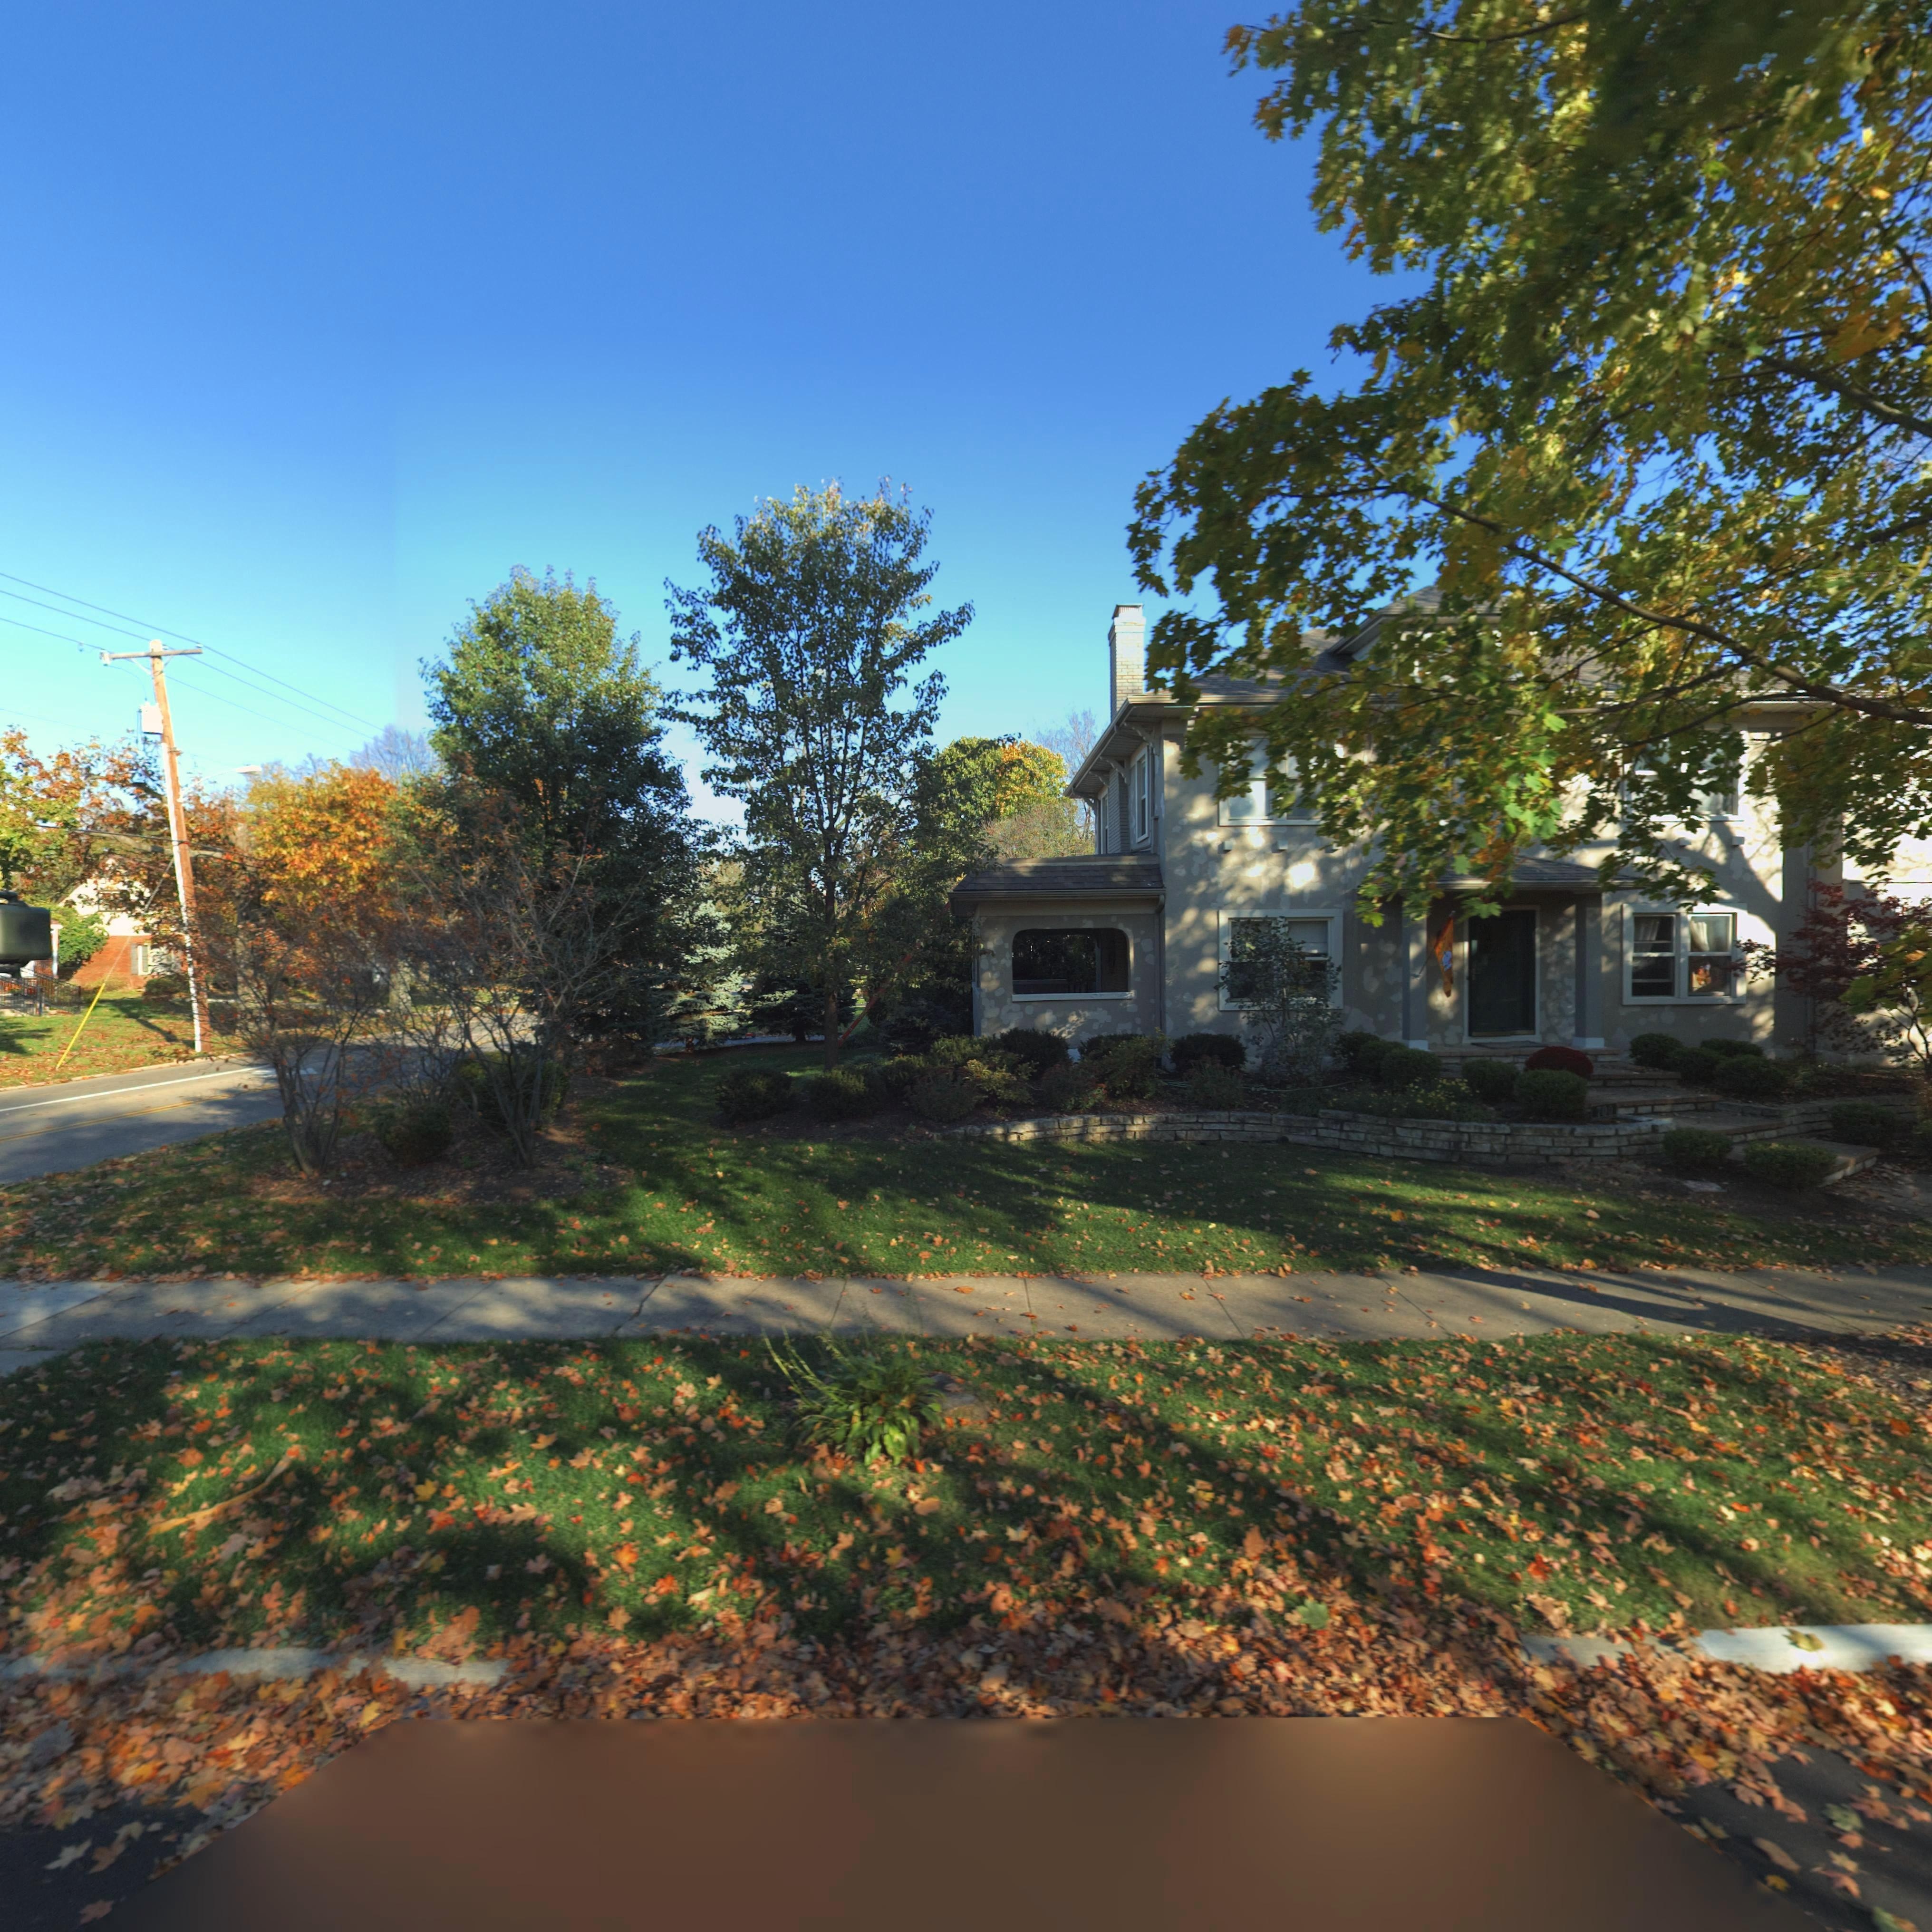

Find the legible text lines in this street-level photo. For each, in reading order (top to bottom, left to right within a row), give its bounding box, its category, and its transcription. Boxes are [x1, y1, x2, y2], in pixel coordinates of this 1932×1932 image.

[1594, 1103, 1614, 1119] StreetNumber: 700